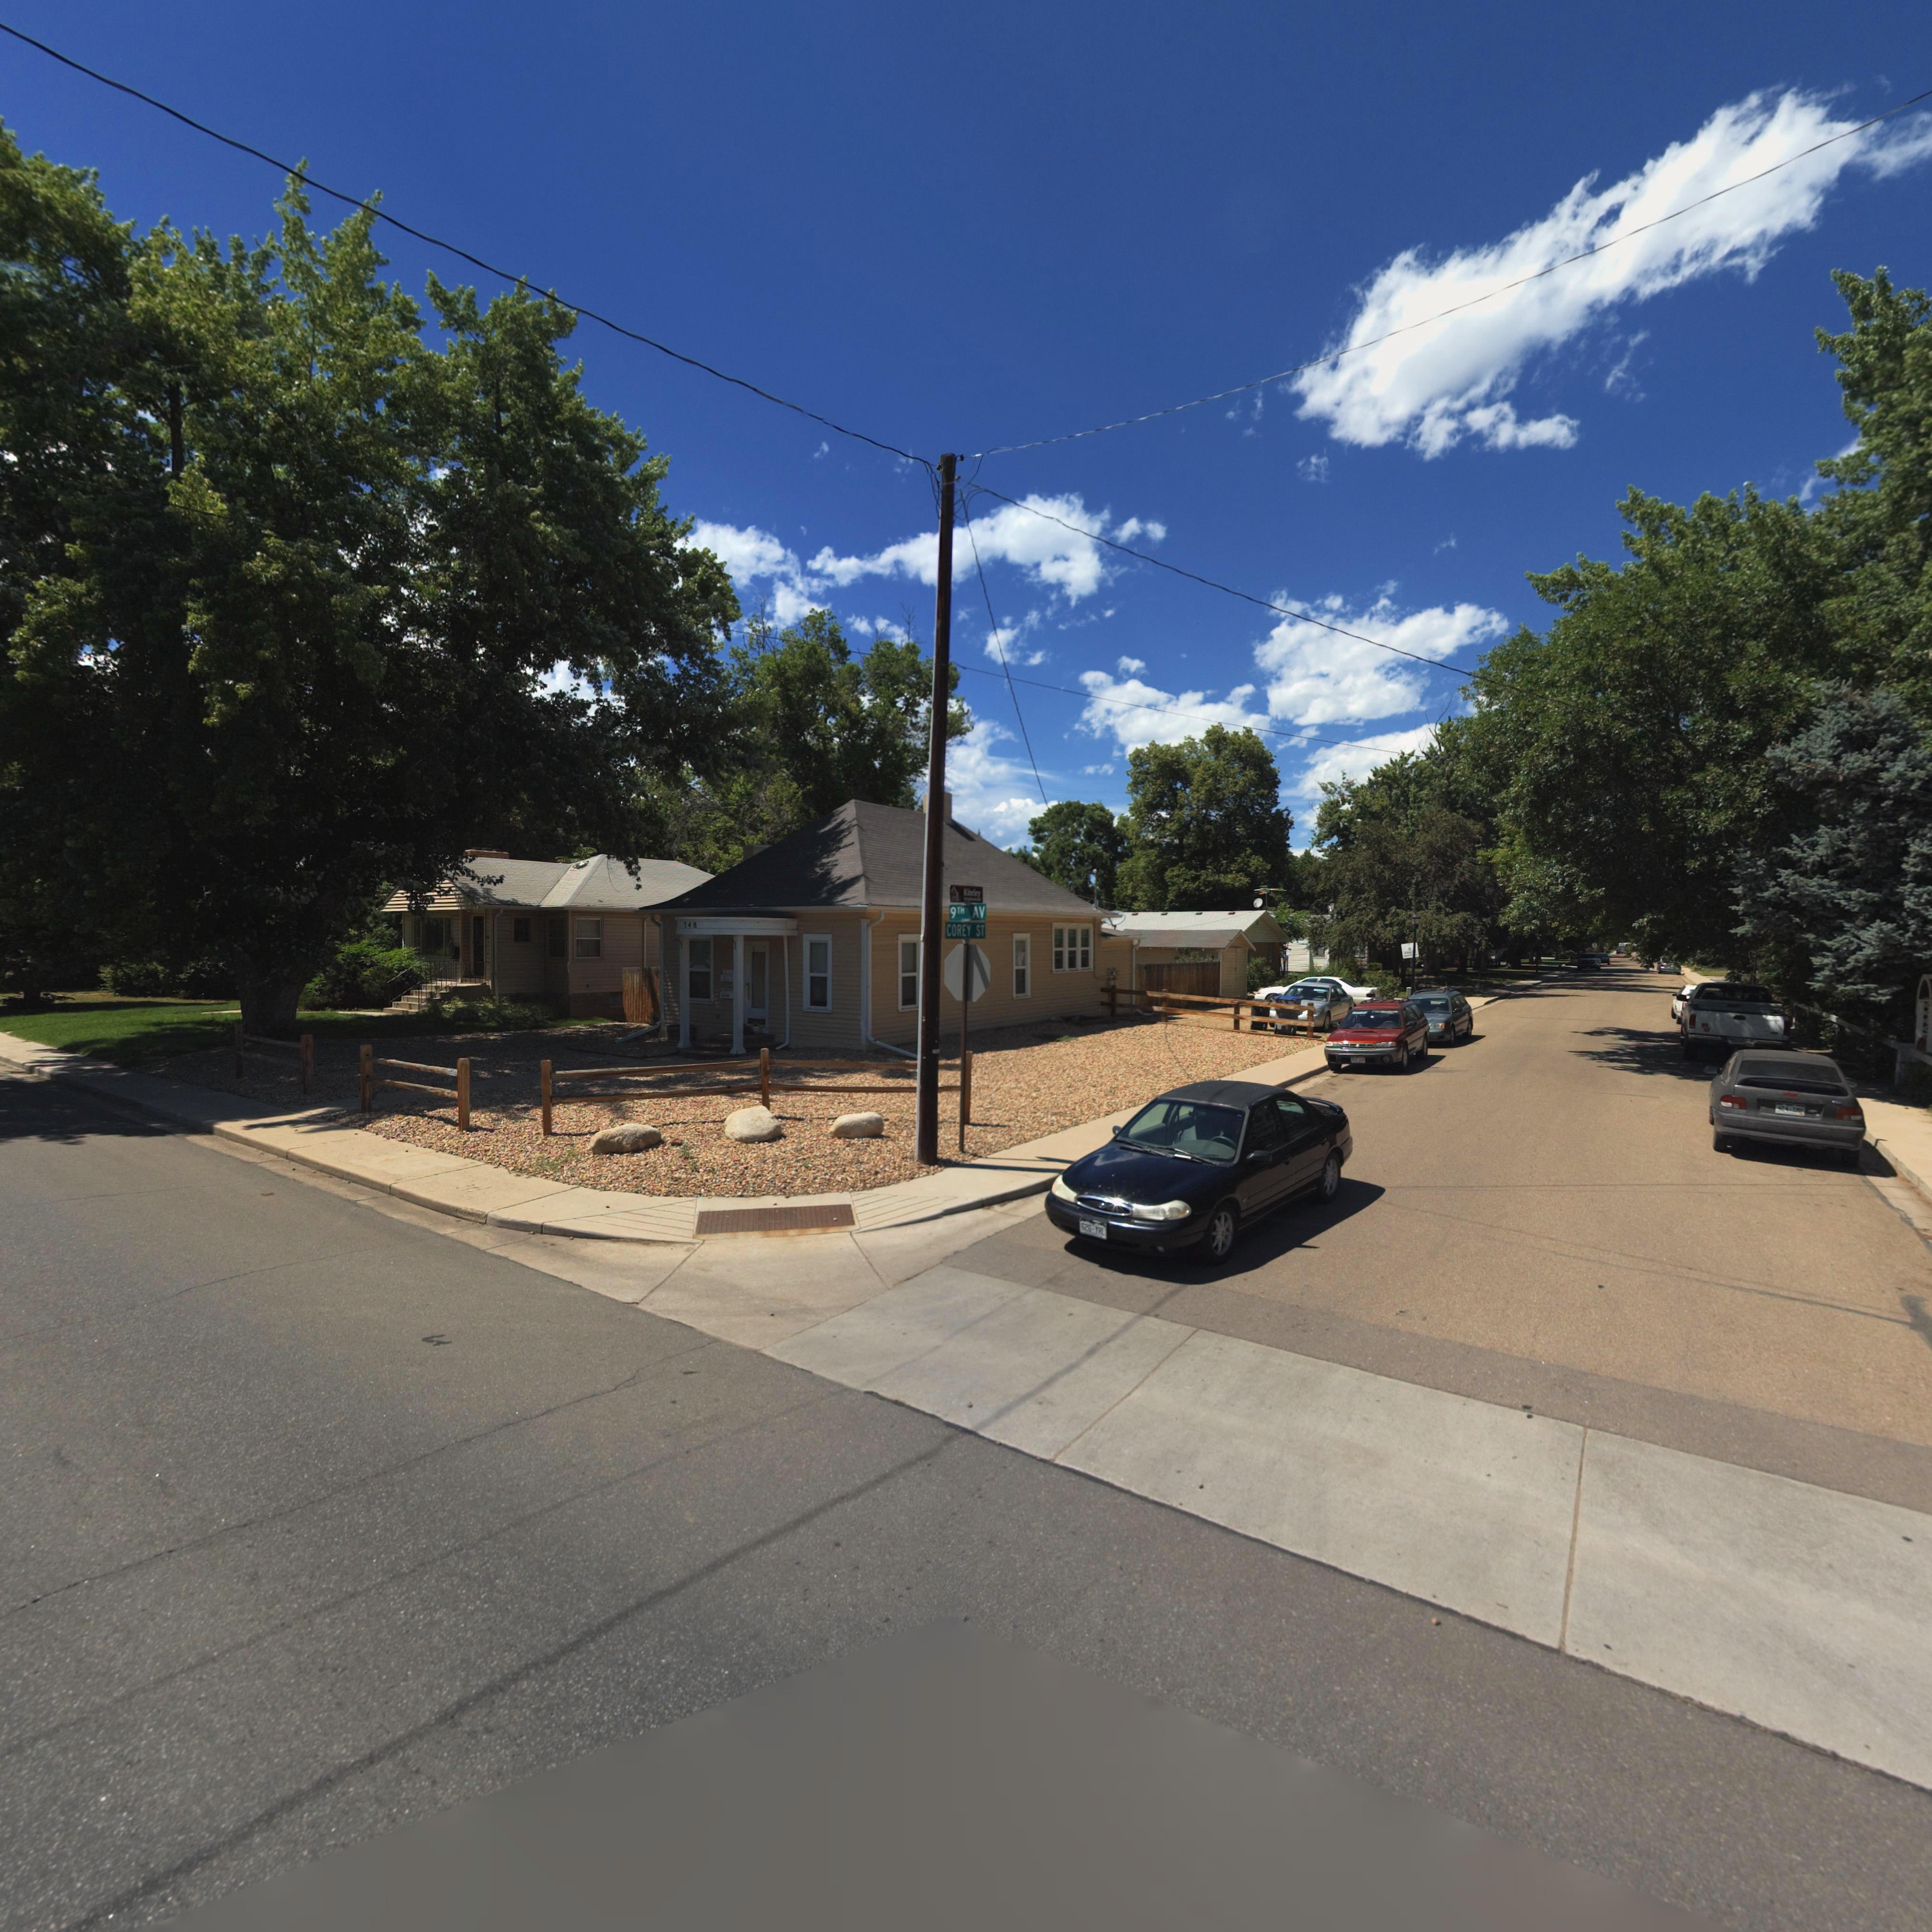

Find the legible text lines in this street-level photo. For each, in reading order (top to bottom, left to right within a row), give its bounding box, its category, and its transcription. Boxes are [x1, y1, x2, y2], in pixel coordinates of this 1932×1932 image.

[950, 905, 985, 918] StreetName: 9TH AV
[684, 921, 696, 928] StreetNumber: 348
[946, 923, 984, 937] StreetName: COREY ST